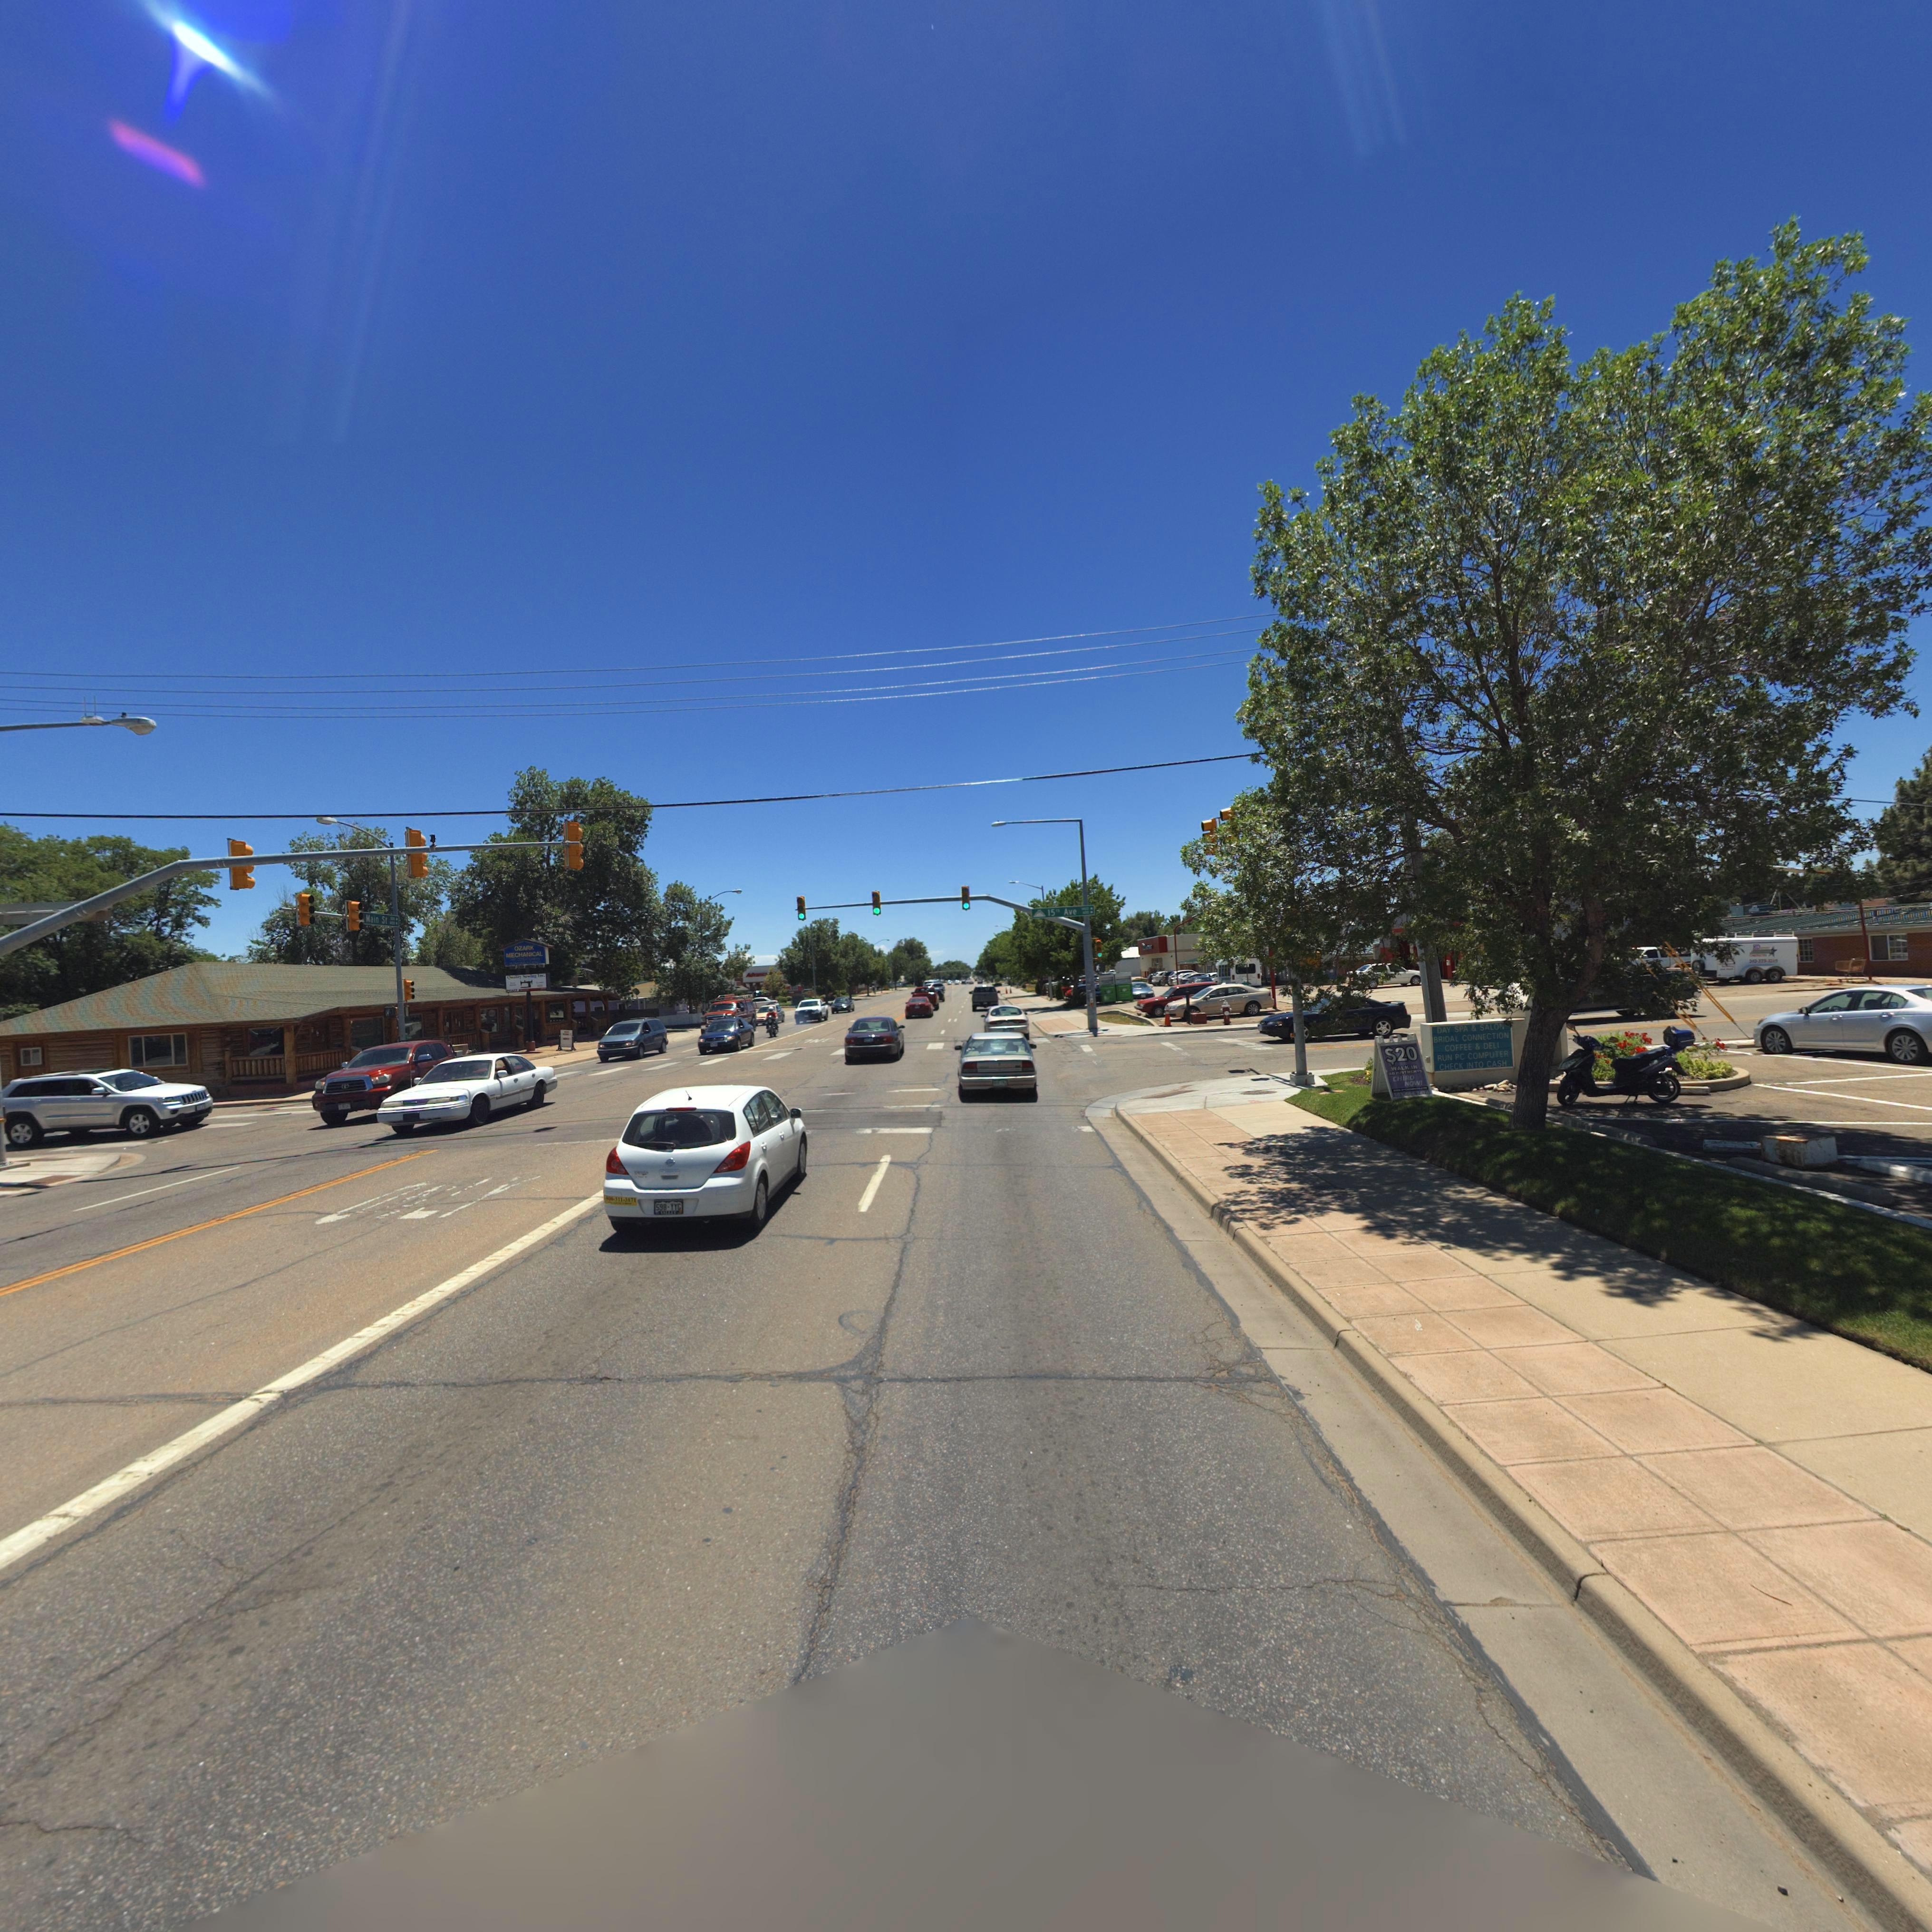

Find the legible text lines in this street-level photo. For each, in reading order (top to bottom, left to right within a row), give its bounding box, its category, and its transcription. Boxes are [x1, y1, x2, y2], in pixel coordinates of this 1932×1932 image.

[1047, 908, 1077, 917] StreetName: 15th Ave
[1081, 907, 1089, 910] None: **00
[1082, 910, 1093, 914] StreetNumberRange: 600->
[365, 913, 387, 924] StreetName: Main St
[514, 945, 534, 951] BusinessName: OZARK
[505, 951, 542, 958] BusinessName: MECHANICAL
[507, 973, 545, 980] BusinessName: Quality Se*ing Inc.
[745, 971, 773, 977] BusinessName: Advan***
[1436, 1022, 1505, 1034] BusinessName: DAY SPA & SALON
[1433, 1031, 1509, 1043] BusinessName: BRIDAL CONNECTION
[1444, 1042, 1500, 1052] BusinessName: COFFEE & DELI
[1437, 1050, 1508, 1061] BusinessName: RUN PD COMPUTER
[1439, 1059, 1507, 1071] BusinessName: CHECK INTO CASH